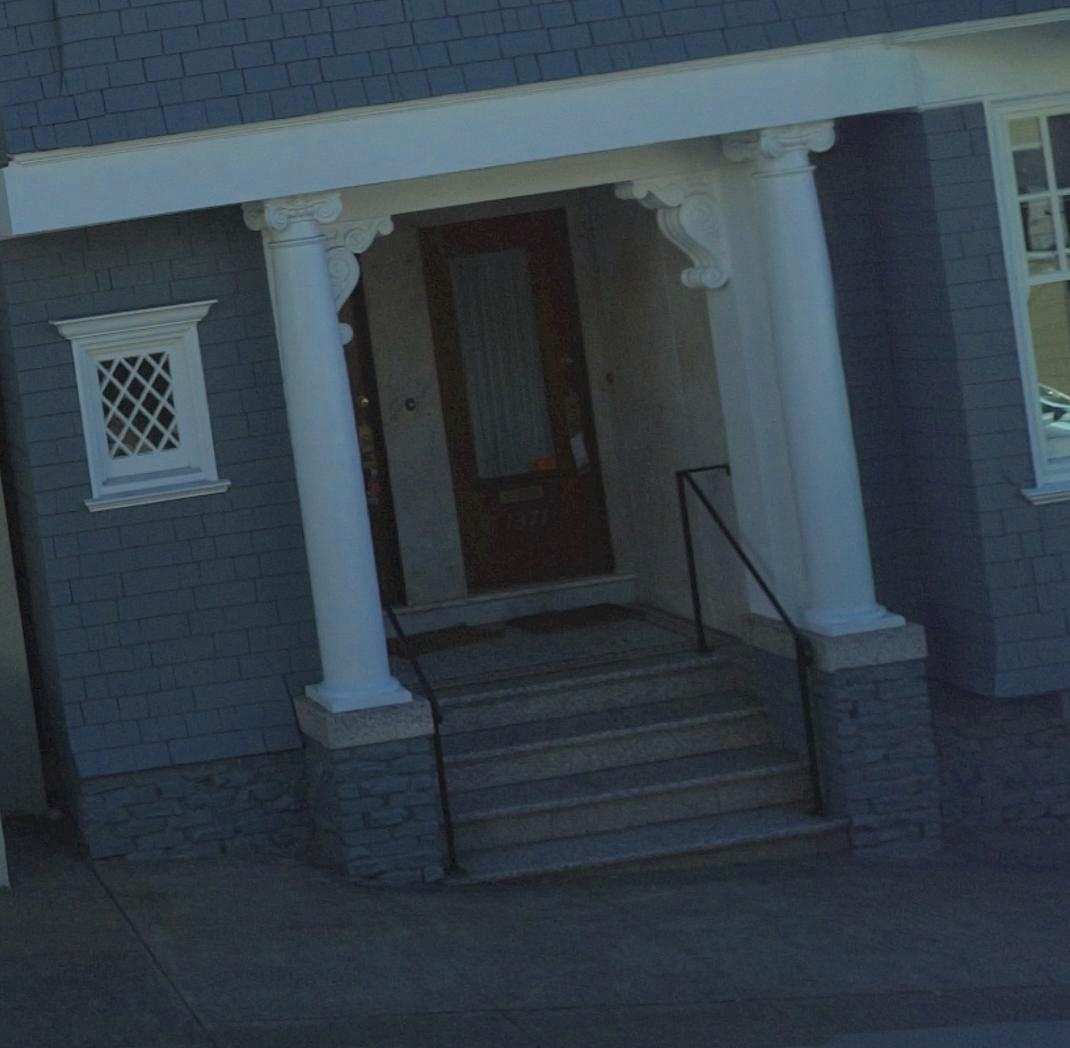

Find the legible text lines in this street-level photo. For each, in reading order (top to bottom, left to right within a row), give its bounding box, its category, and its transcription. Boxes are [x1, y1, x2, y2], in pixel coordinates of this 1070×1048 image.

[503, 506, 551, 535] StreetNumber: 1371